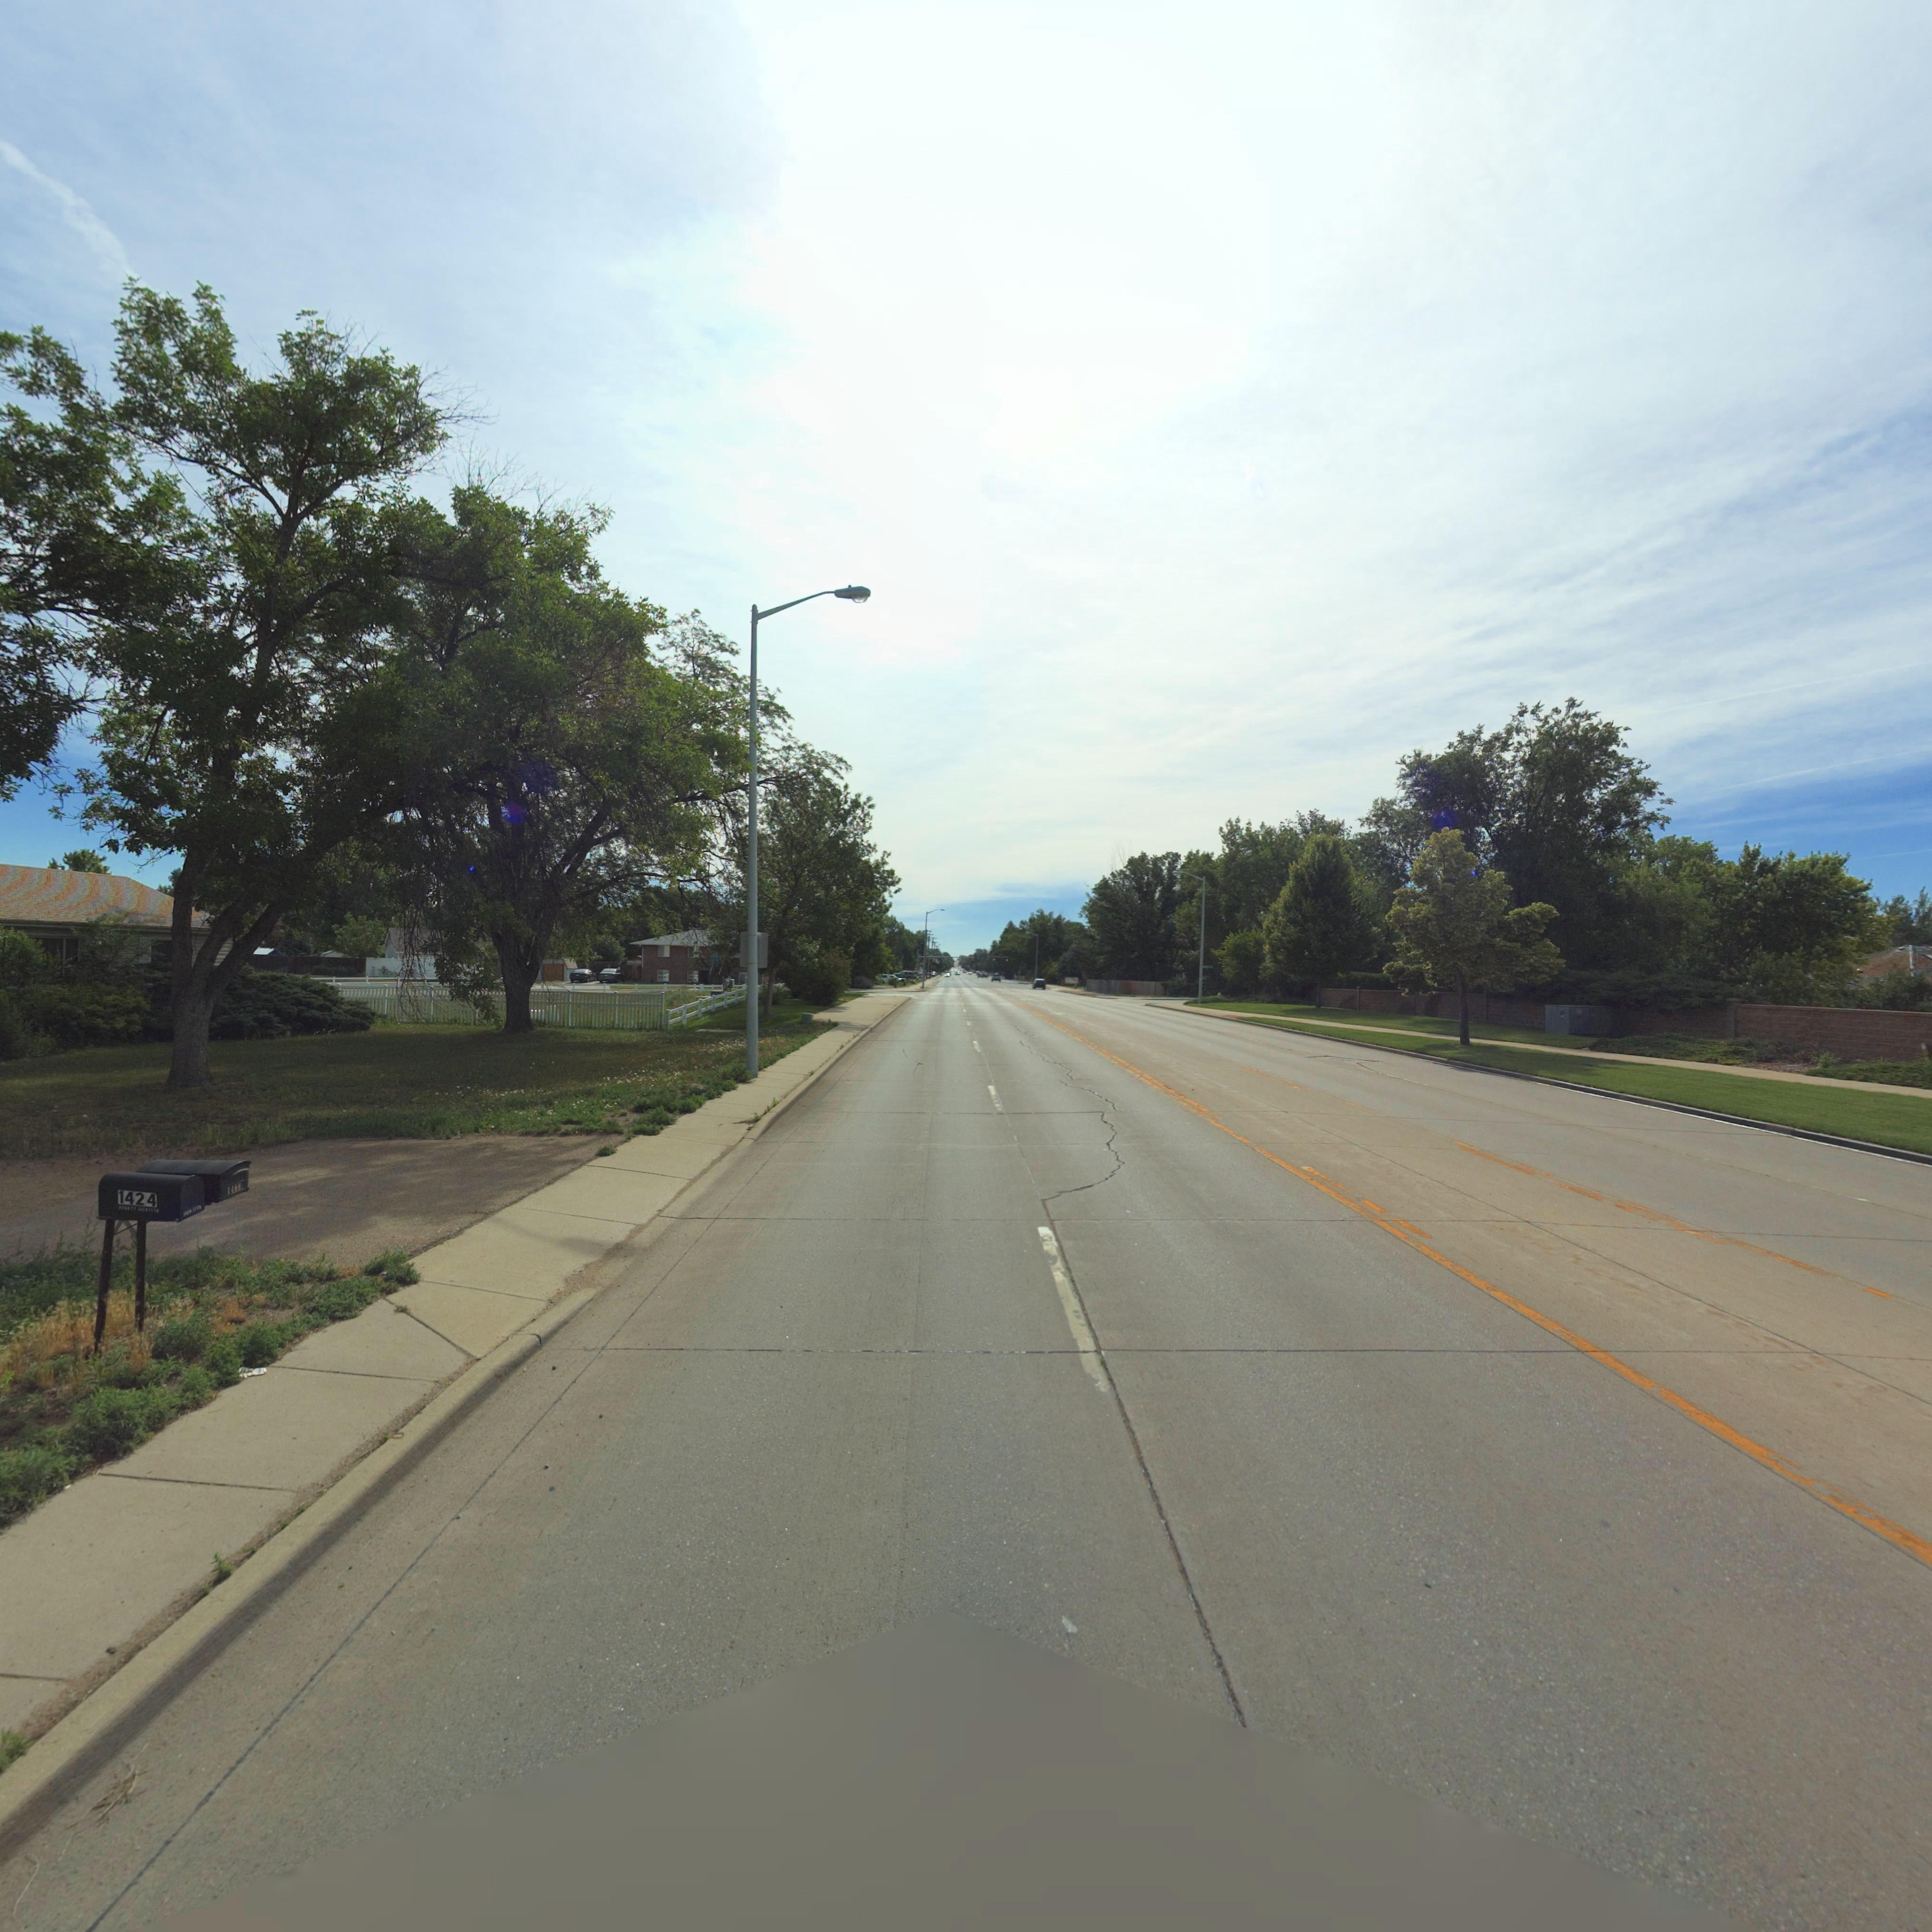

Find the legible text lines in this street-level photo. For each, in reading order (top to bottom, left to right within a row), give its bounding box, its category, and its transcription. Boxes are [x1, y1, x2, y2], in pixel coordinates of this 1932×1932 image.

[226, 1181, 241, 1195] StreetNumber: 1408
[117, 1190, 157, 1207] StreetNumber: 1424